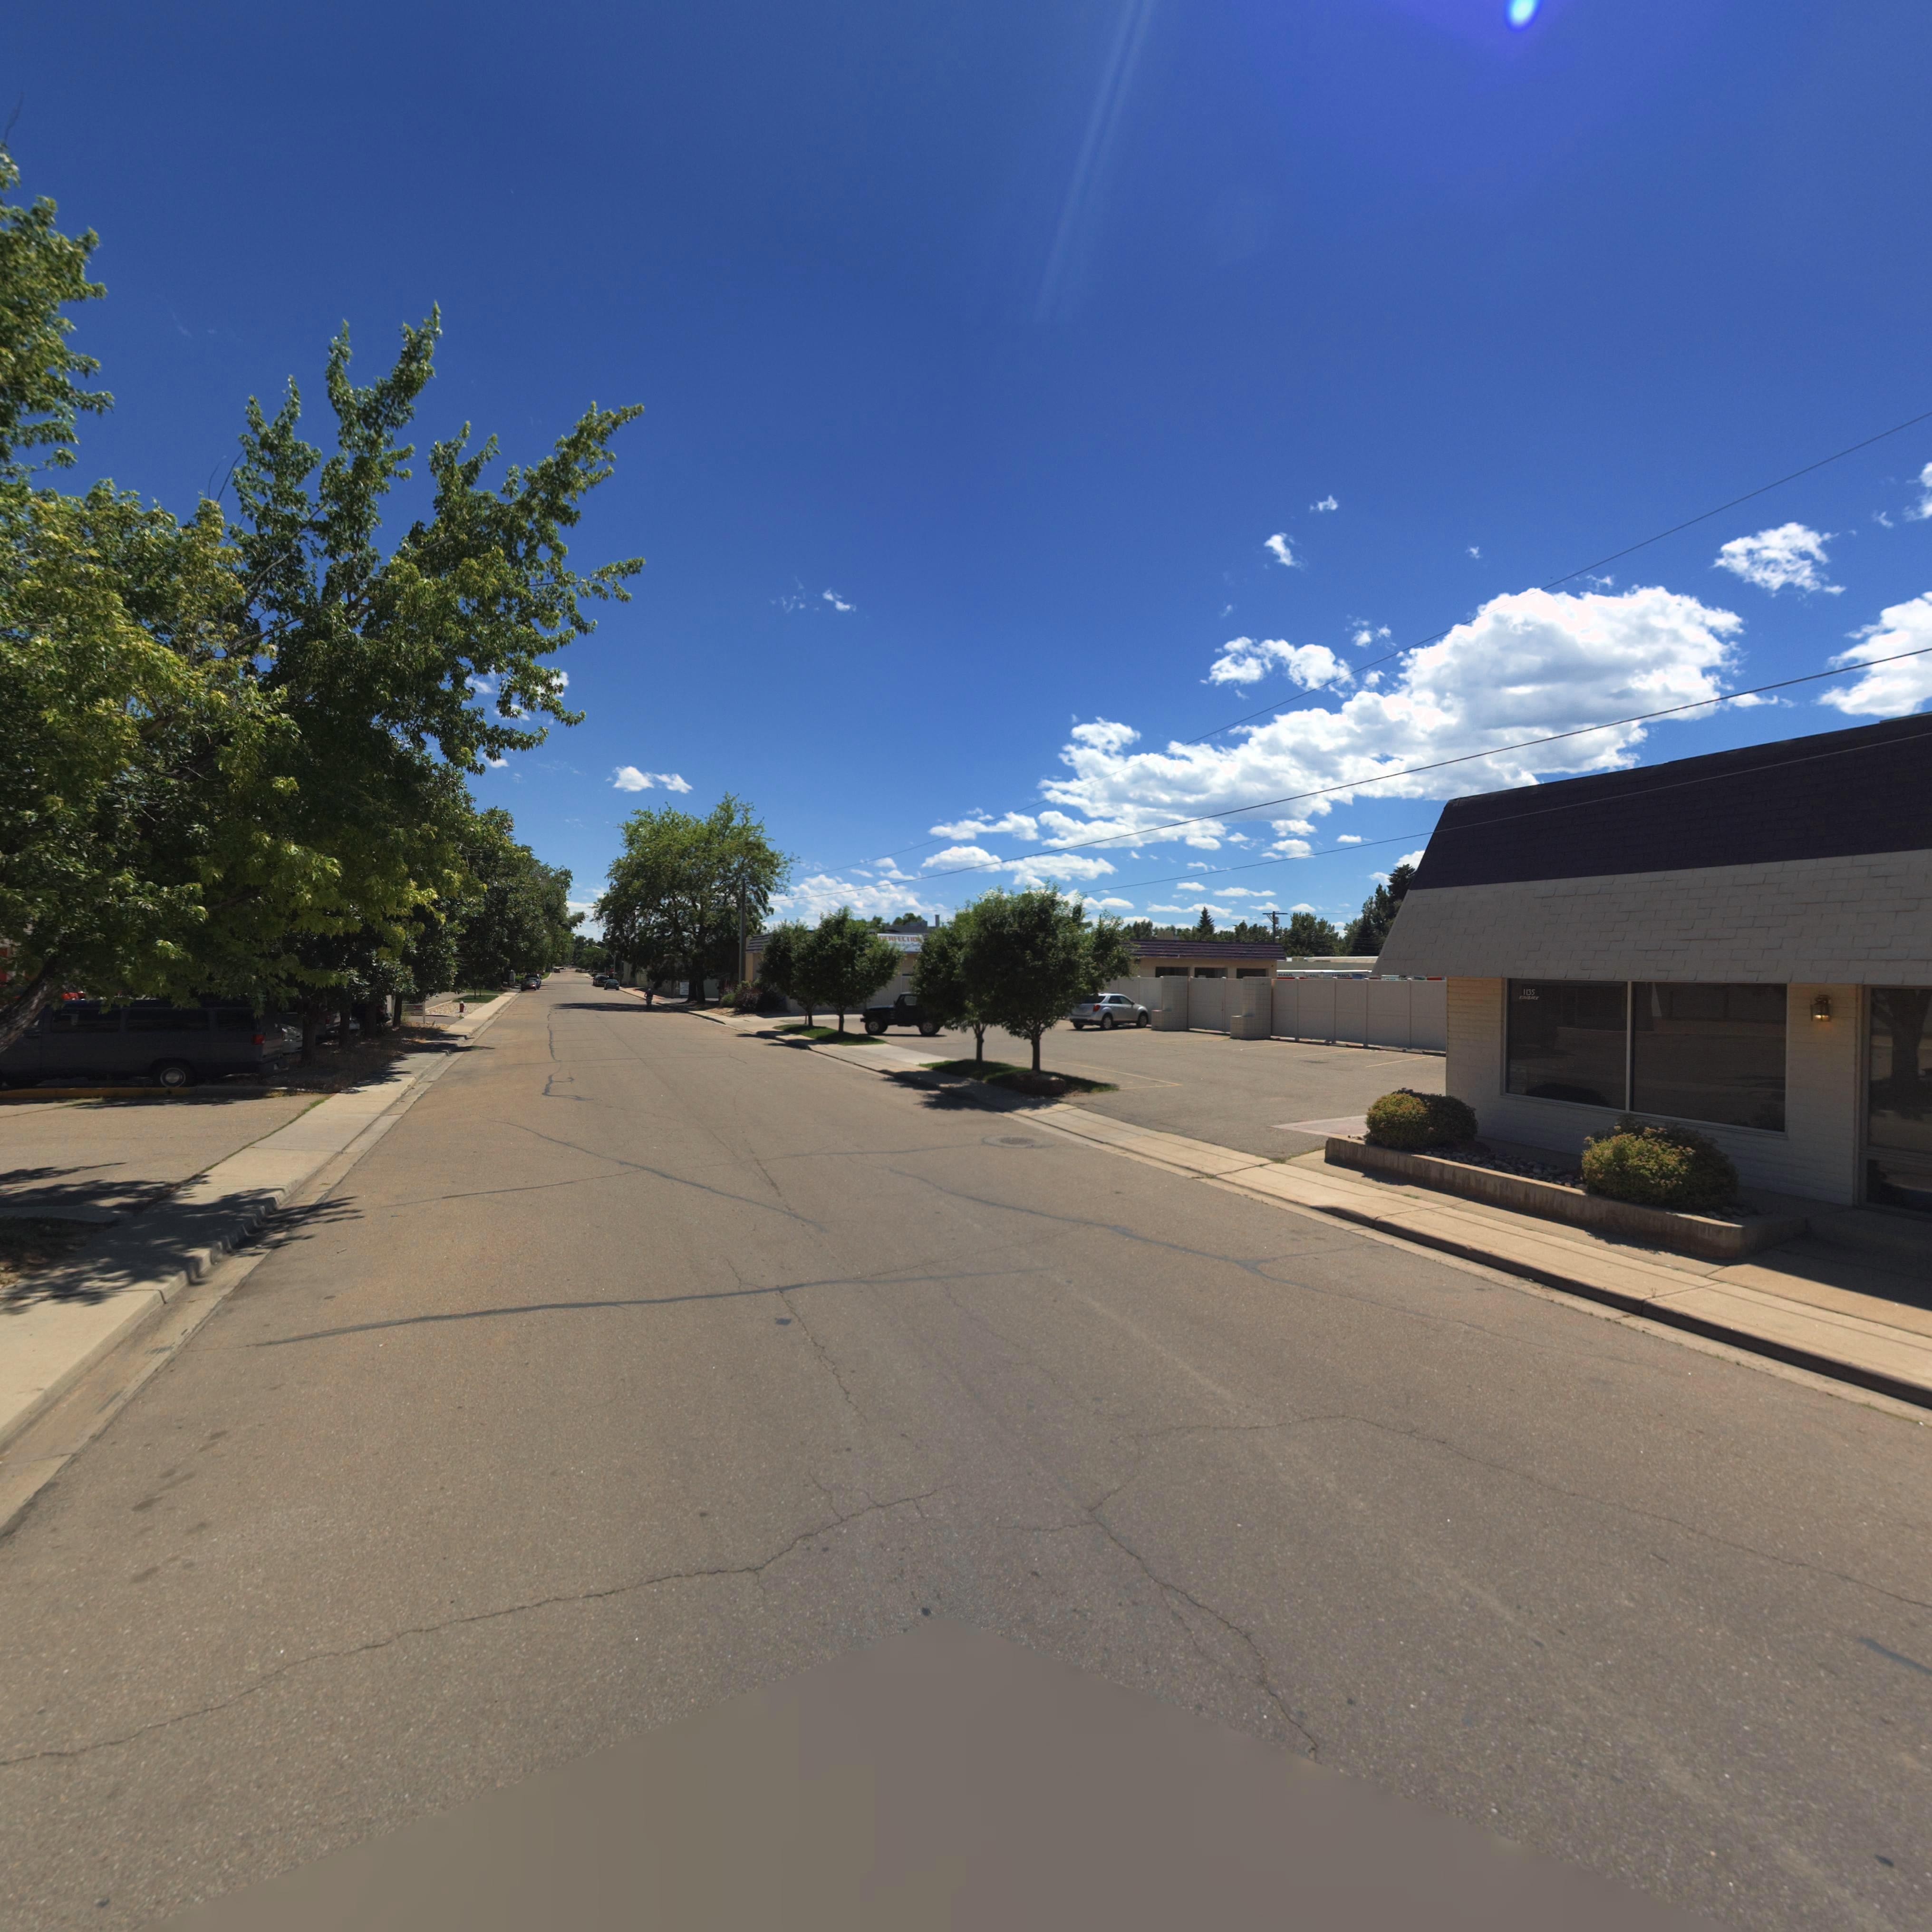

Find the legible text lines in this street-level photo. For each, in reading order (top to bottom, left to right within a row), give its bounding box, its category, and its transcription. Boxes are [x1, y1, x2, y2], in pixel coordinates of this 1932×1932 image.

[1522, 988, 1536, 995] StreetNumber: 1135
[1517, 995, 1540, 1000] StreetName: ******K